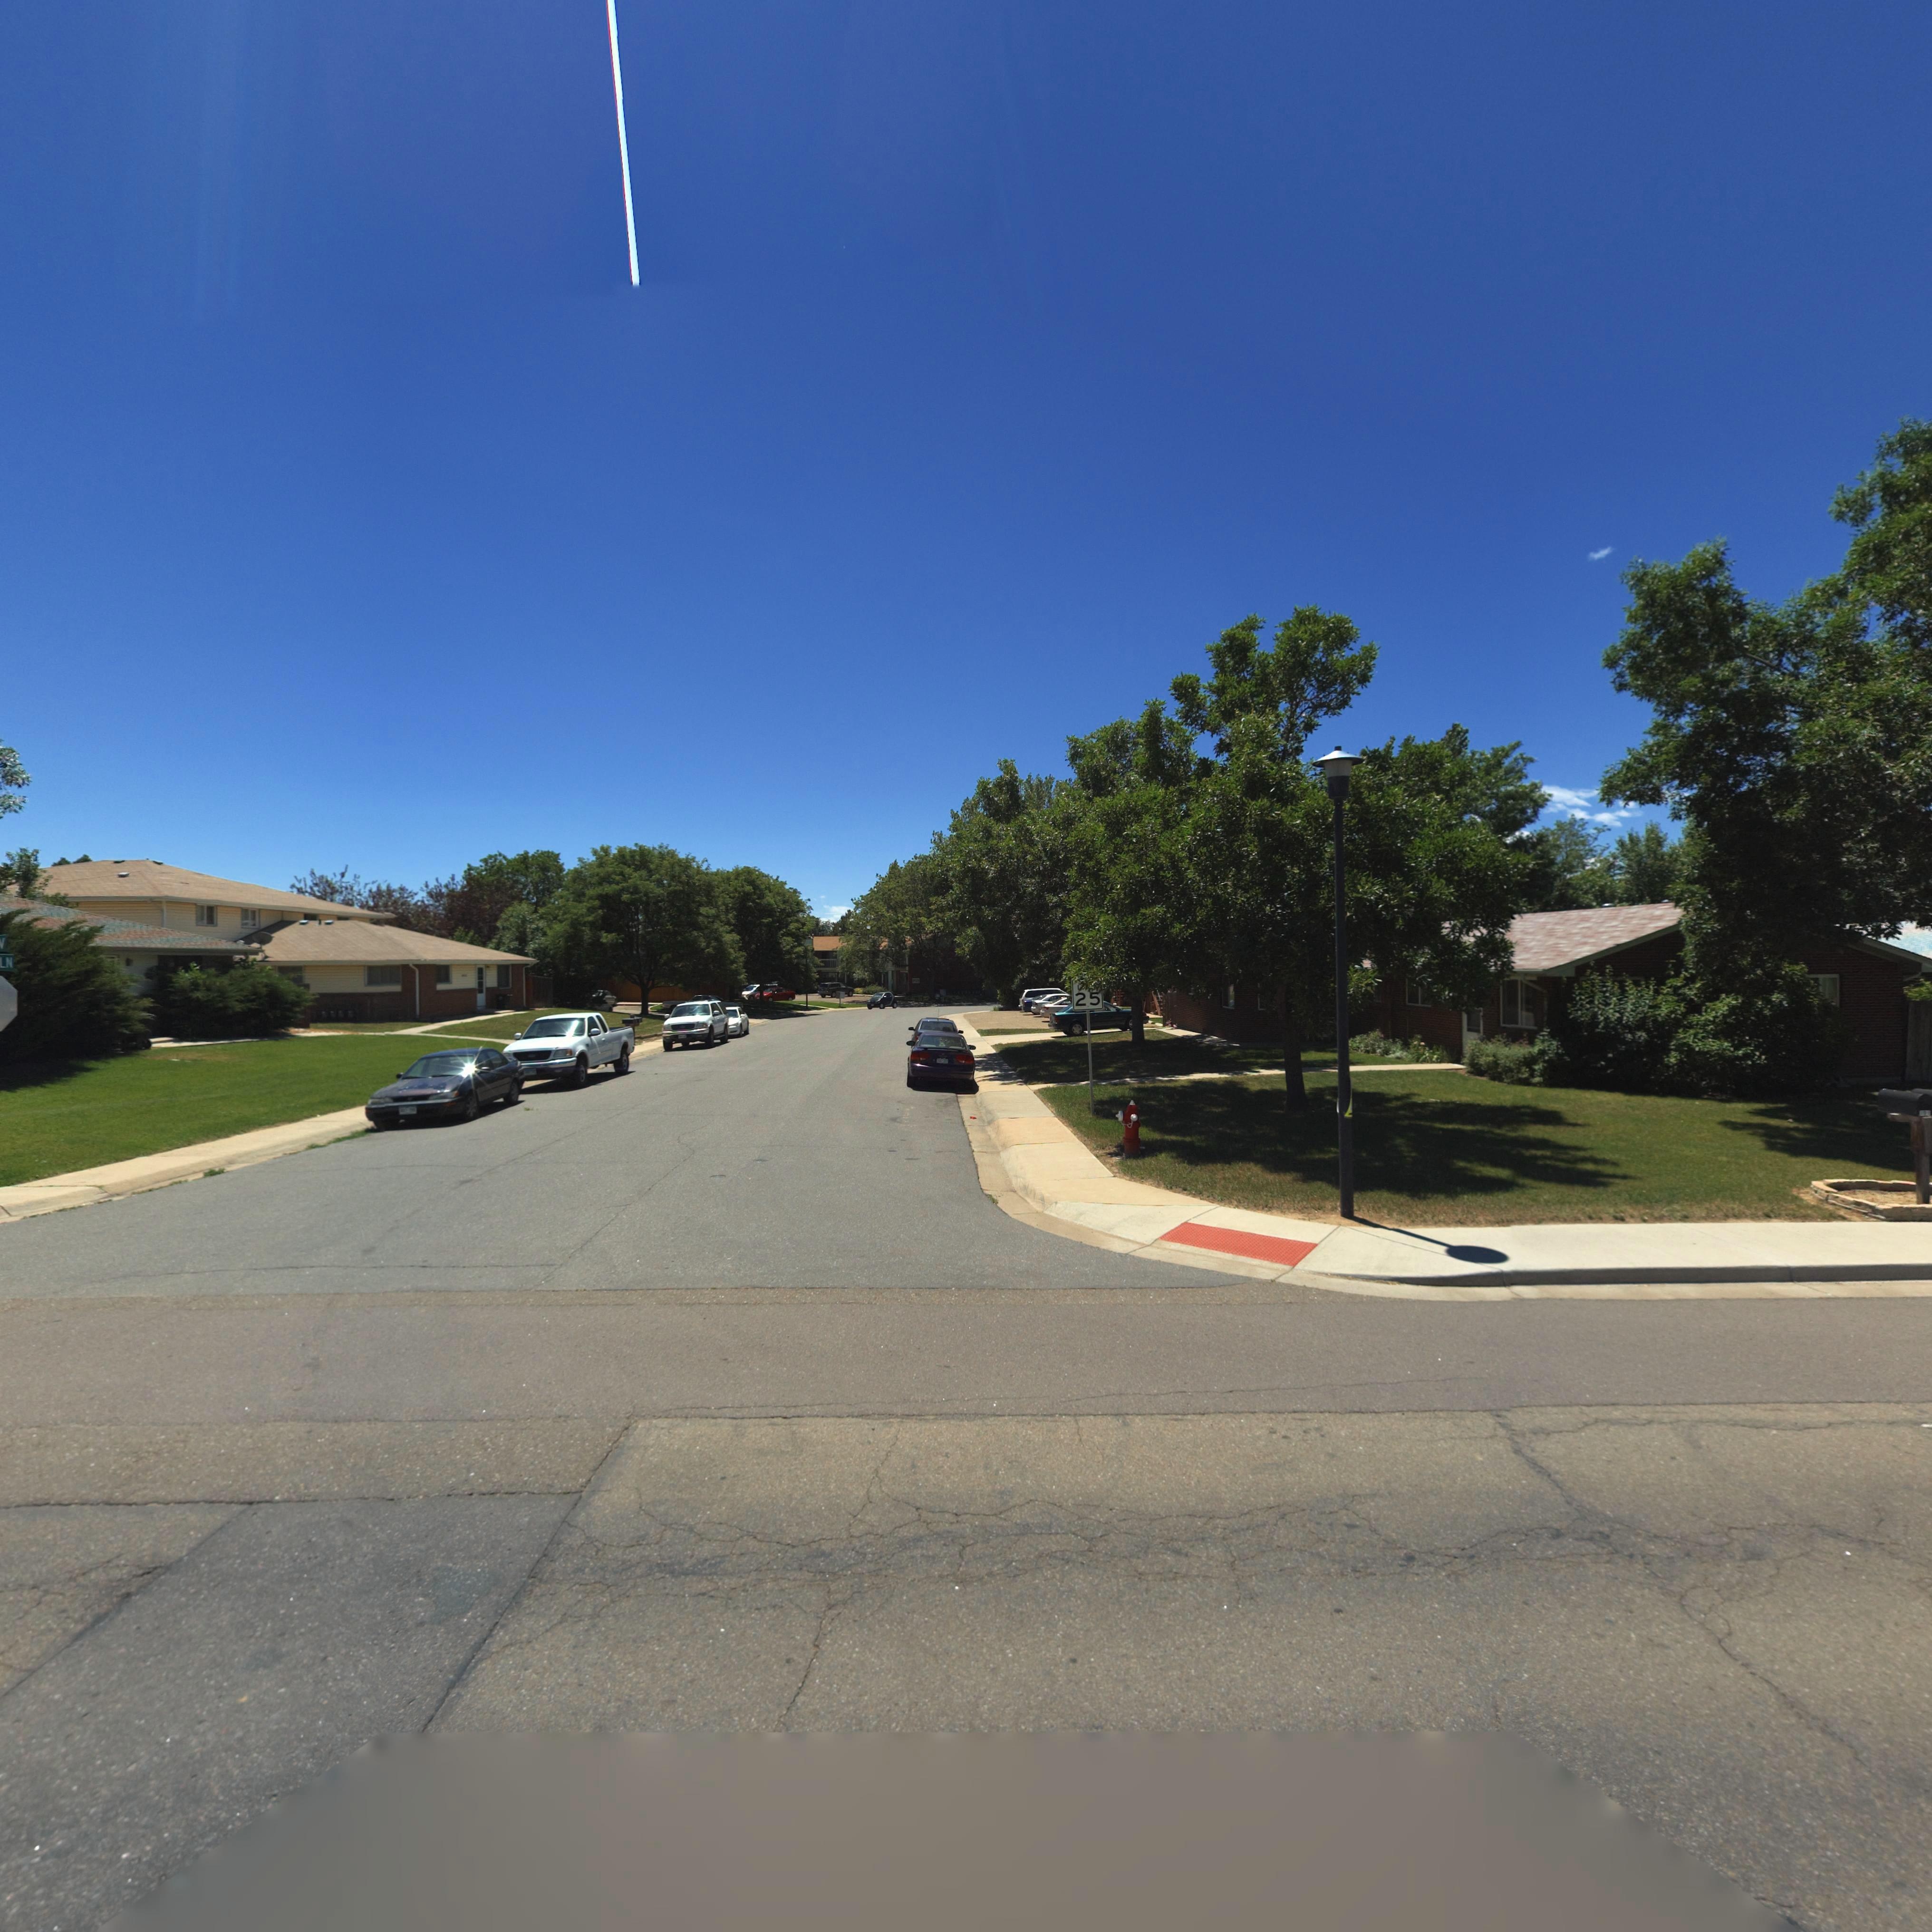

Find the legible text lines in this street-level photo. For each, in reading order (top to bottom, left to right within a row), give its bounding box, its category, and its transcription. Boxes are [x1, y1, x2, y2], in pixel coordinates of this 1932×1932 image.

[0, 956, 13, 968] StreetName: LN